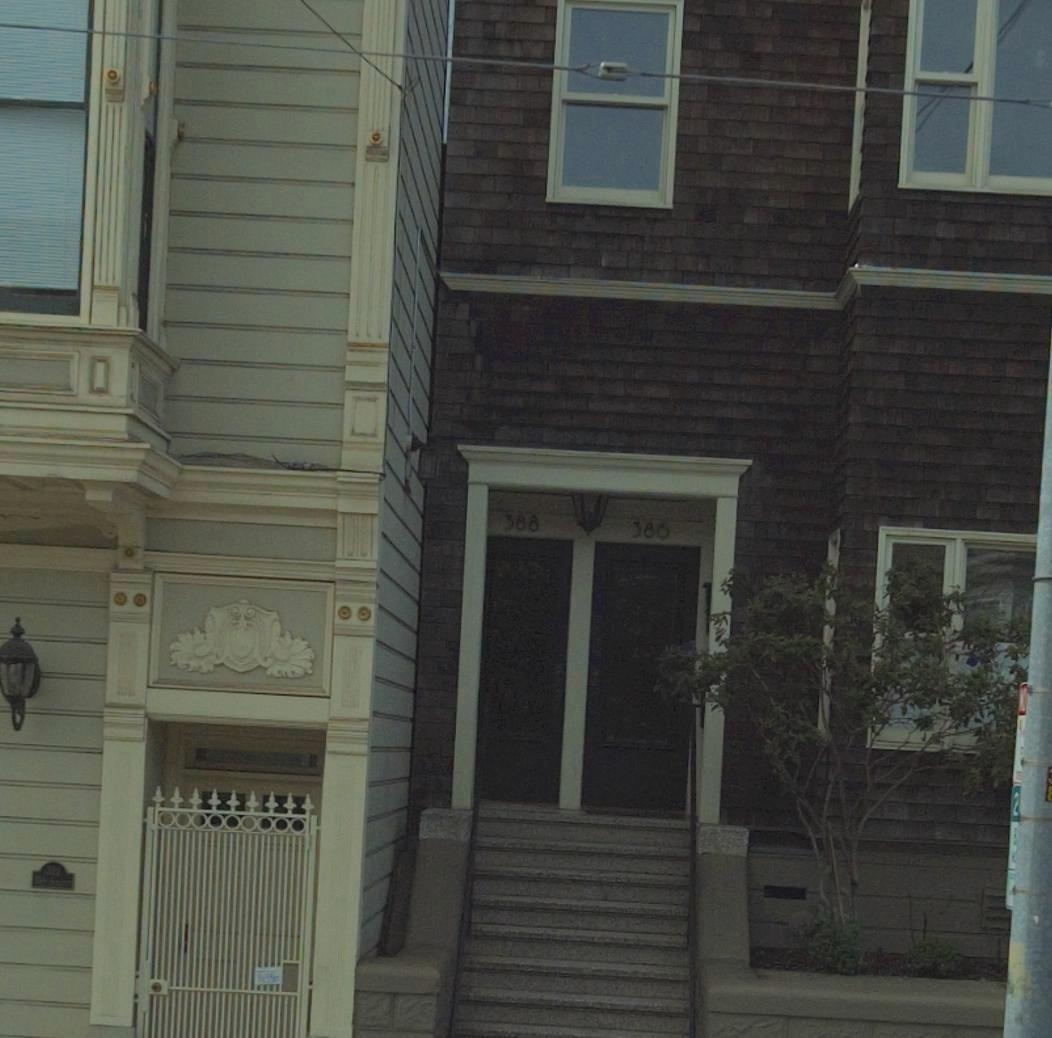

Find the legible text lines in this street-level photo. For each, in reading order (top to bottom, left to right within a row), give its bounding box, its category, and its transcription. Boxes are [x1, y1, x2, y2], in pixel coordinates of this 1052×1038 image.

[502, 513, 540, 533] StreetNumber: 388
[631, 521, 671, 541] StreetNumber: 286